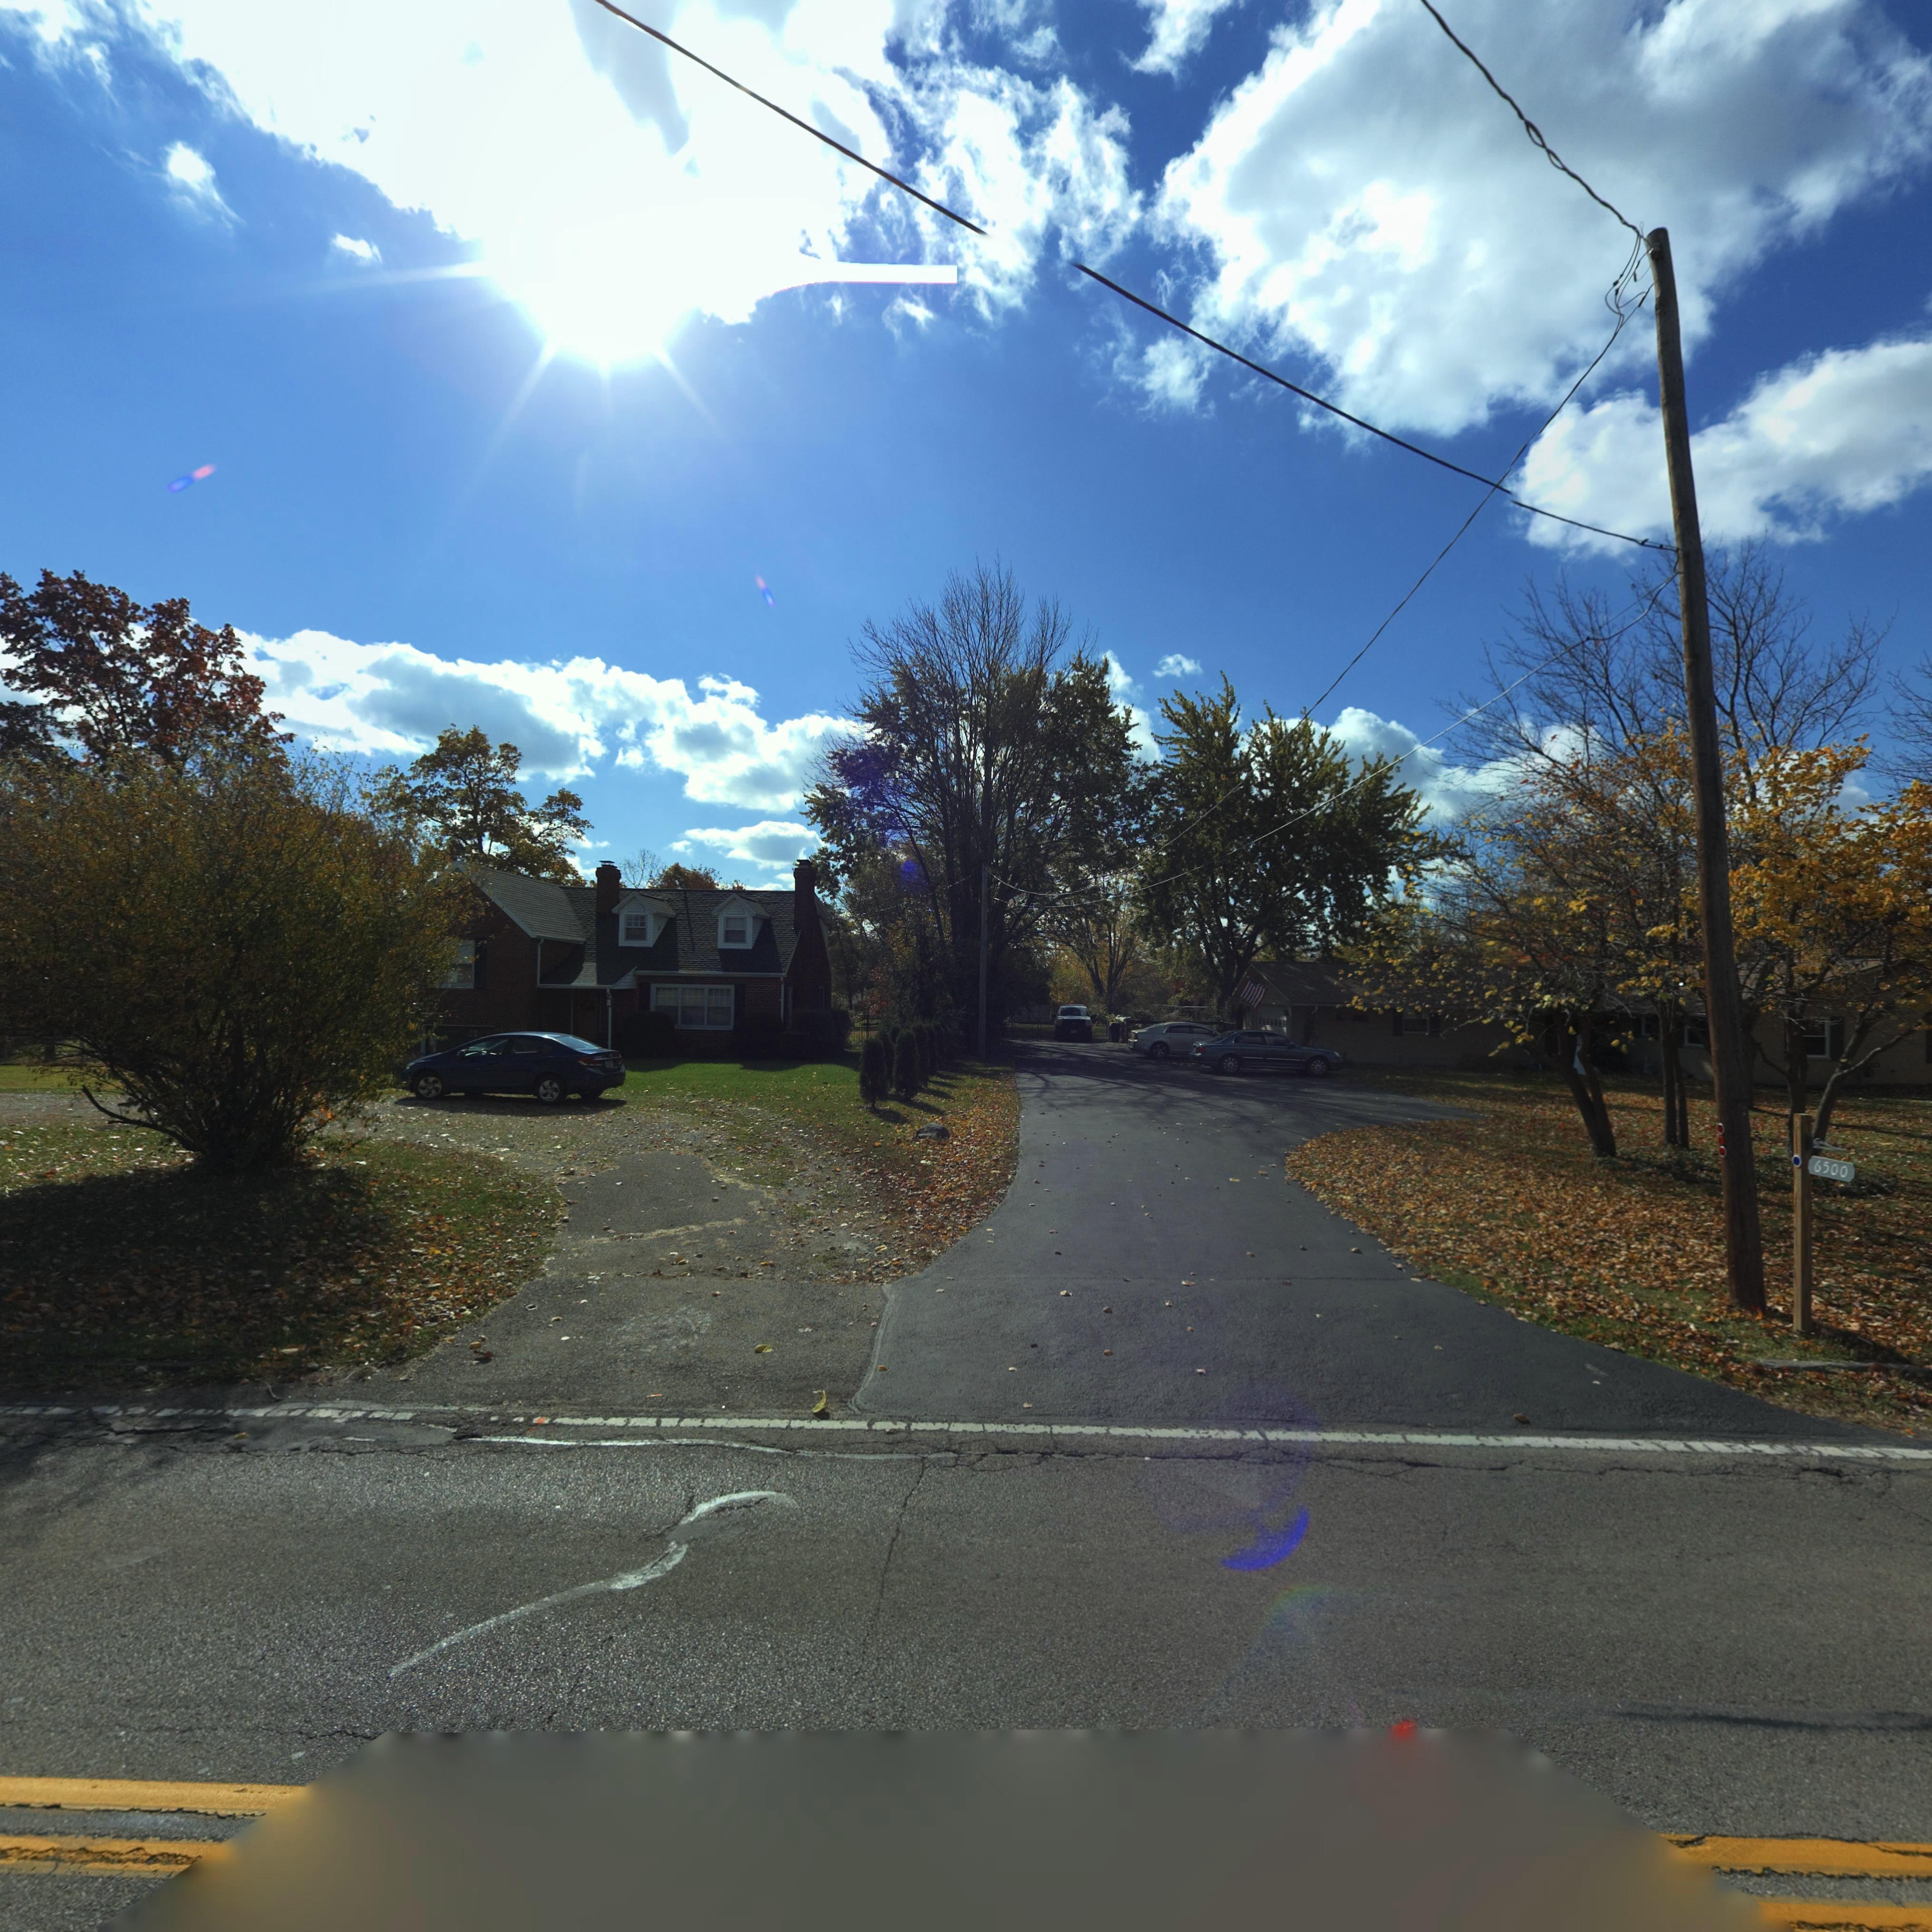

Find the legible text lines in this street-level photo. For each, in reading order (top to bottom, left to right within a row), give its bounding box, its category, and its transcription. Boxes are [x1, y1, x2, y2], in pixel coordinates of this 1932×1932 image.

[1813, 1159, 1849, 1179] StreetNumber: 6500